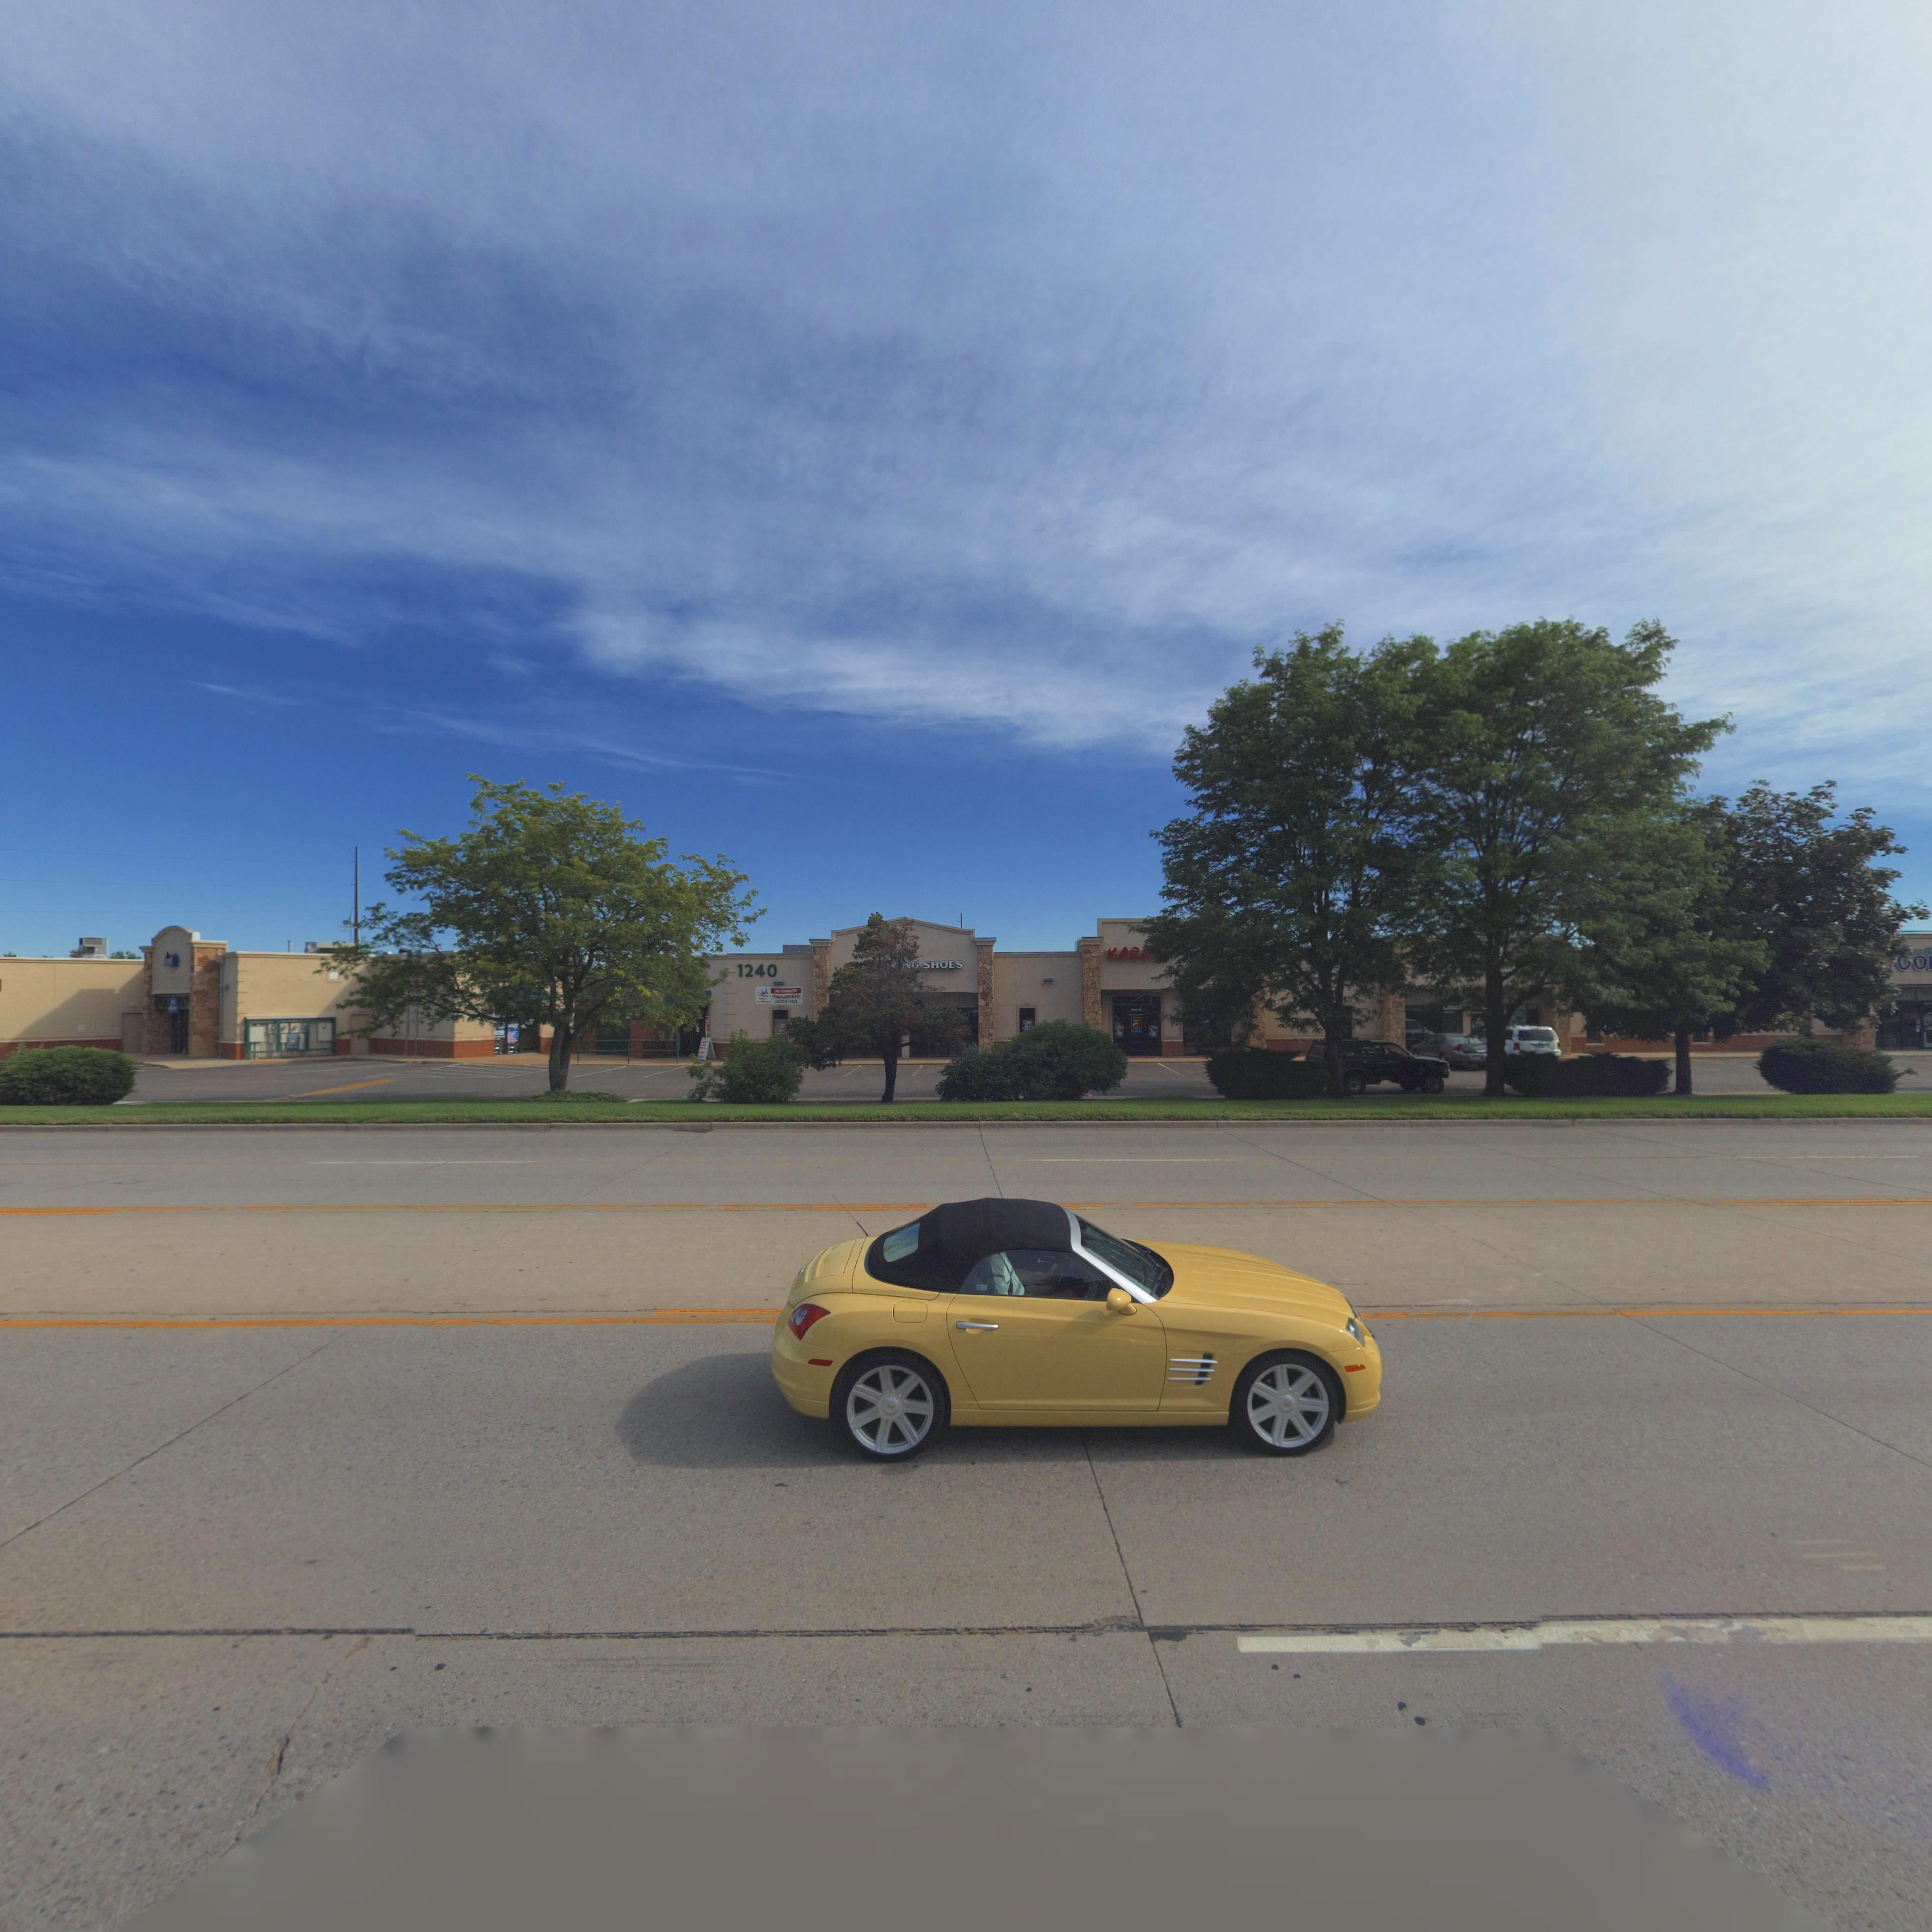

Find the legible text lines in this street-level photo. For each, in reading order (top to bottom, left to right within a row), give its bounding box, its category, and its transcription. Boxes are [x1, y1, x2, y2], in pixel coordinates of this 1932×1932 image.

[1107, 946, 1141, 960] BusinessName: KAR
[737, 964, 776, 977] StreetNumber: 1240
[902, 961, 964, 968] None: *G SHOES